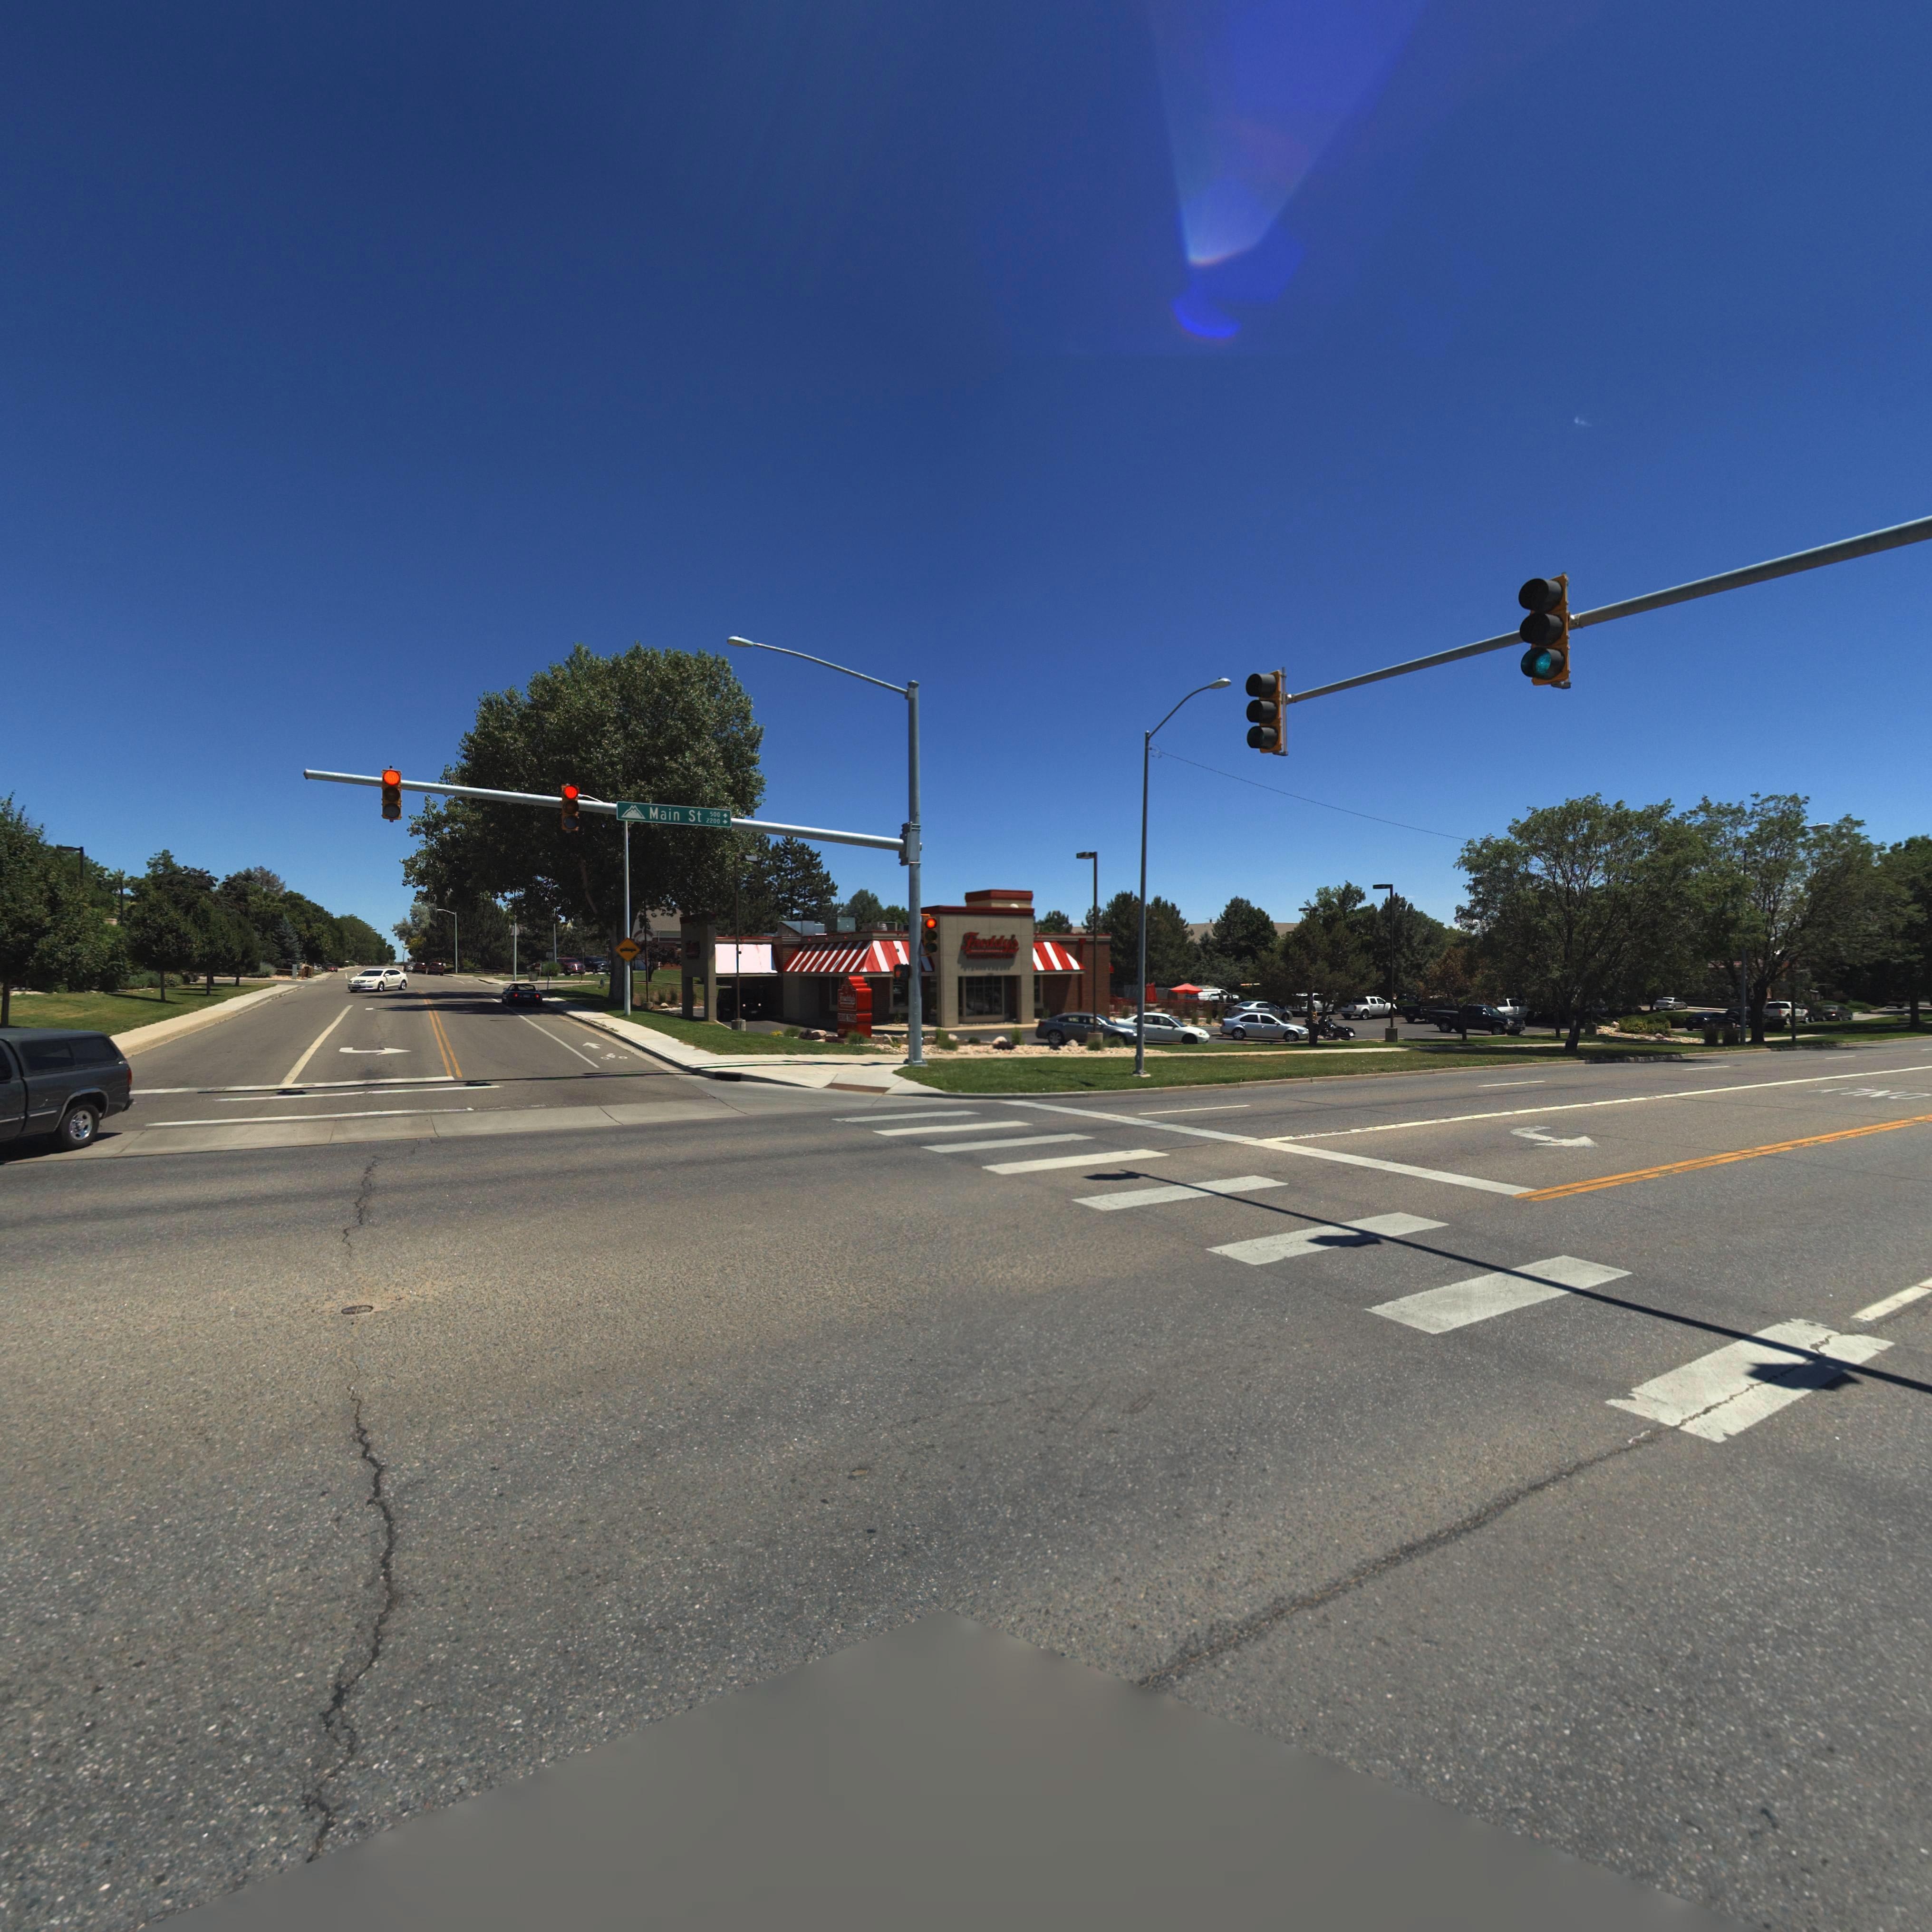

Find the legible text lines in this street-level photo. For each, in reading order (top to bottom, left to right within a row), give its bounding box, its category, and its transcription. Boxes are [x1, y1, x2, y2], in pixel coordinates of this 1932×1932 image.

[648, 806, 702, 822] StreetName: Main St
[709, 811, 721, 817] StreetNumberRange: 500
[705, 817, 728, 824] StreetNumberRange: 2200->
[960, 931, 1020, 953] BusinessName: Freddy's
[839, 992, 856, 1001] BusinessName: Freddy's